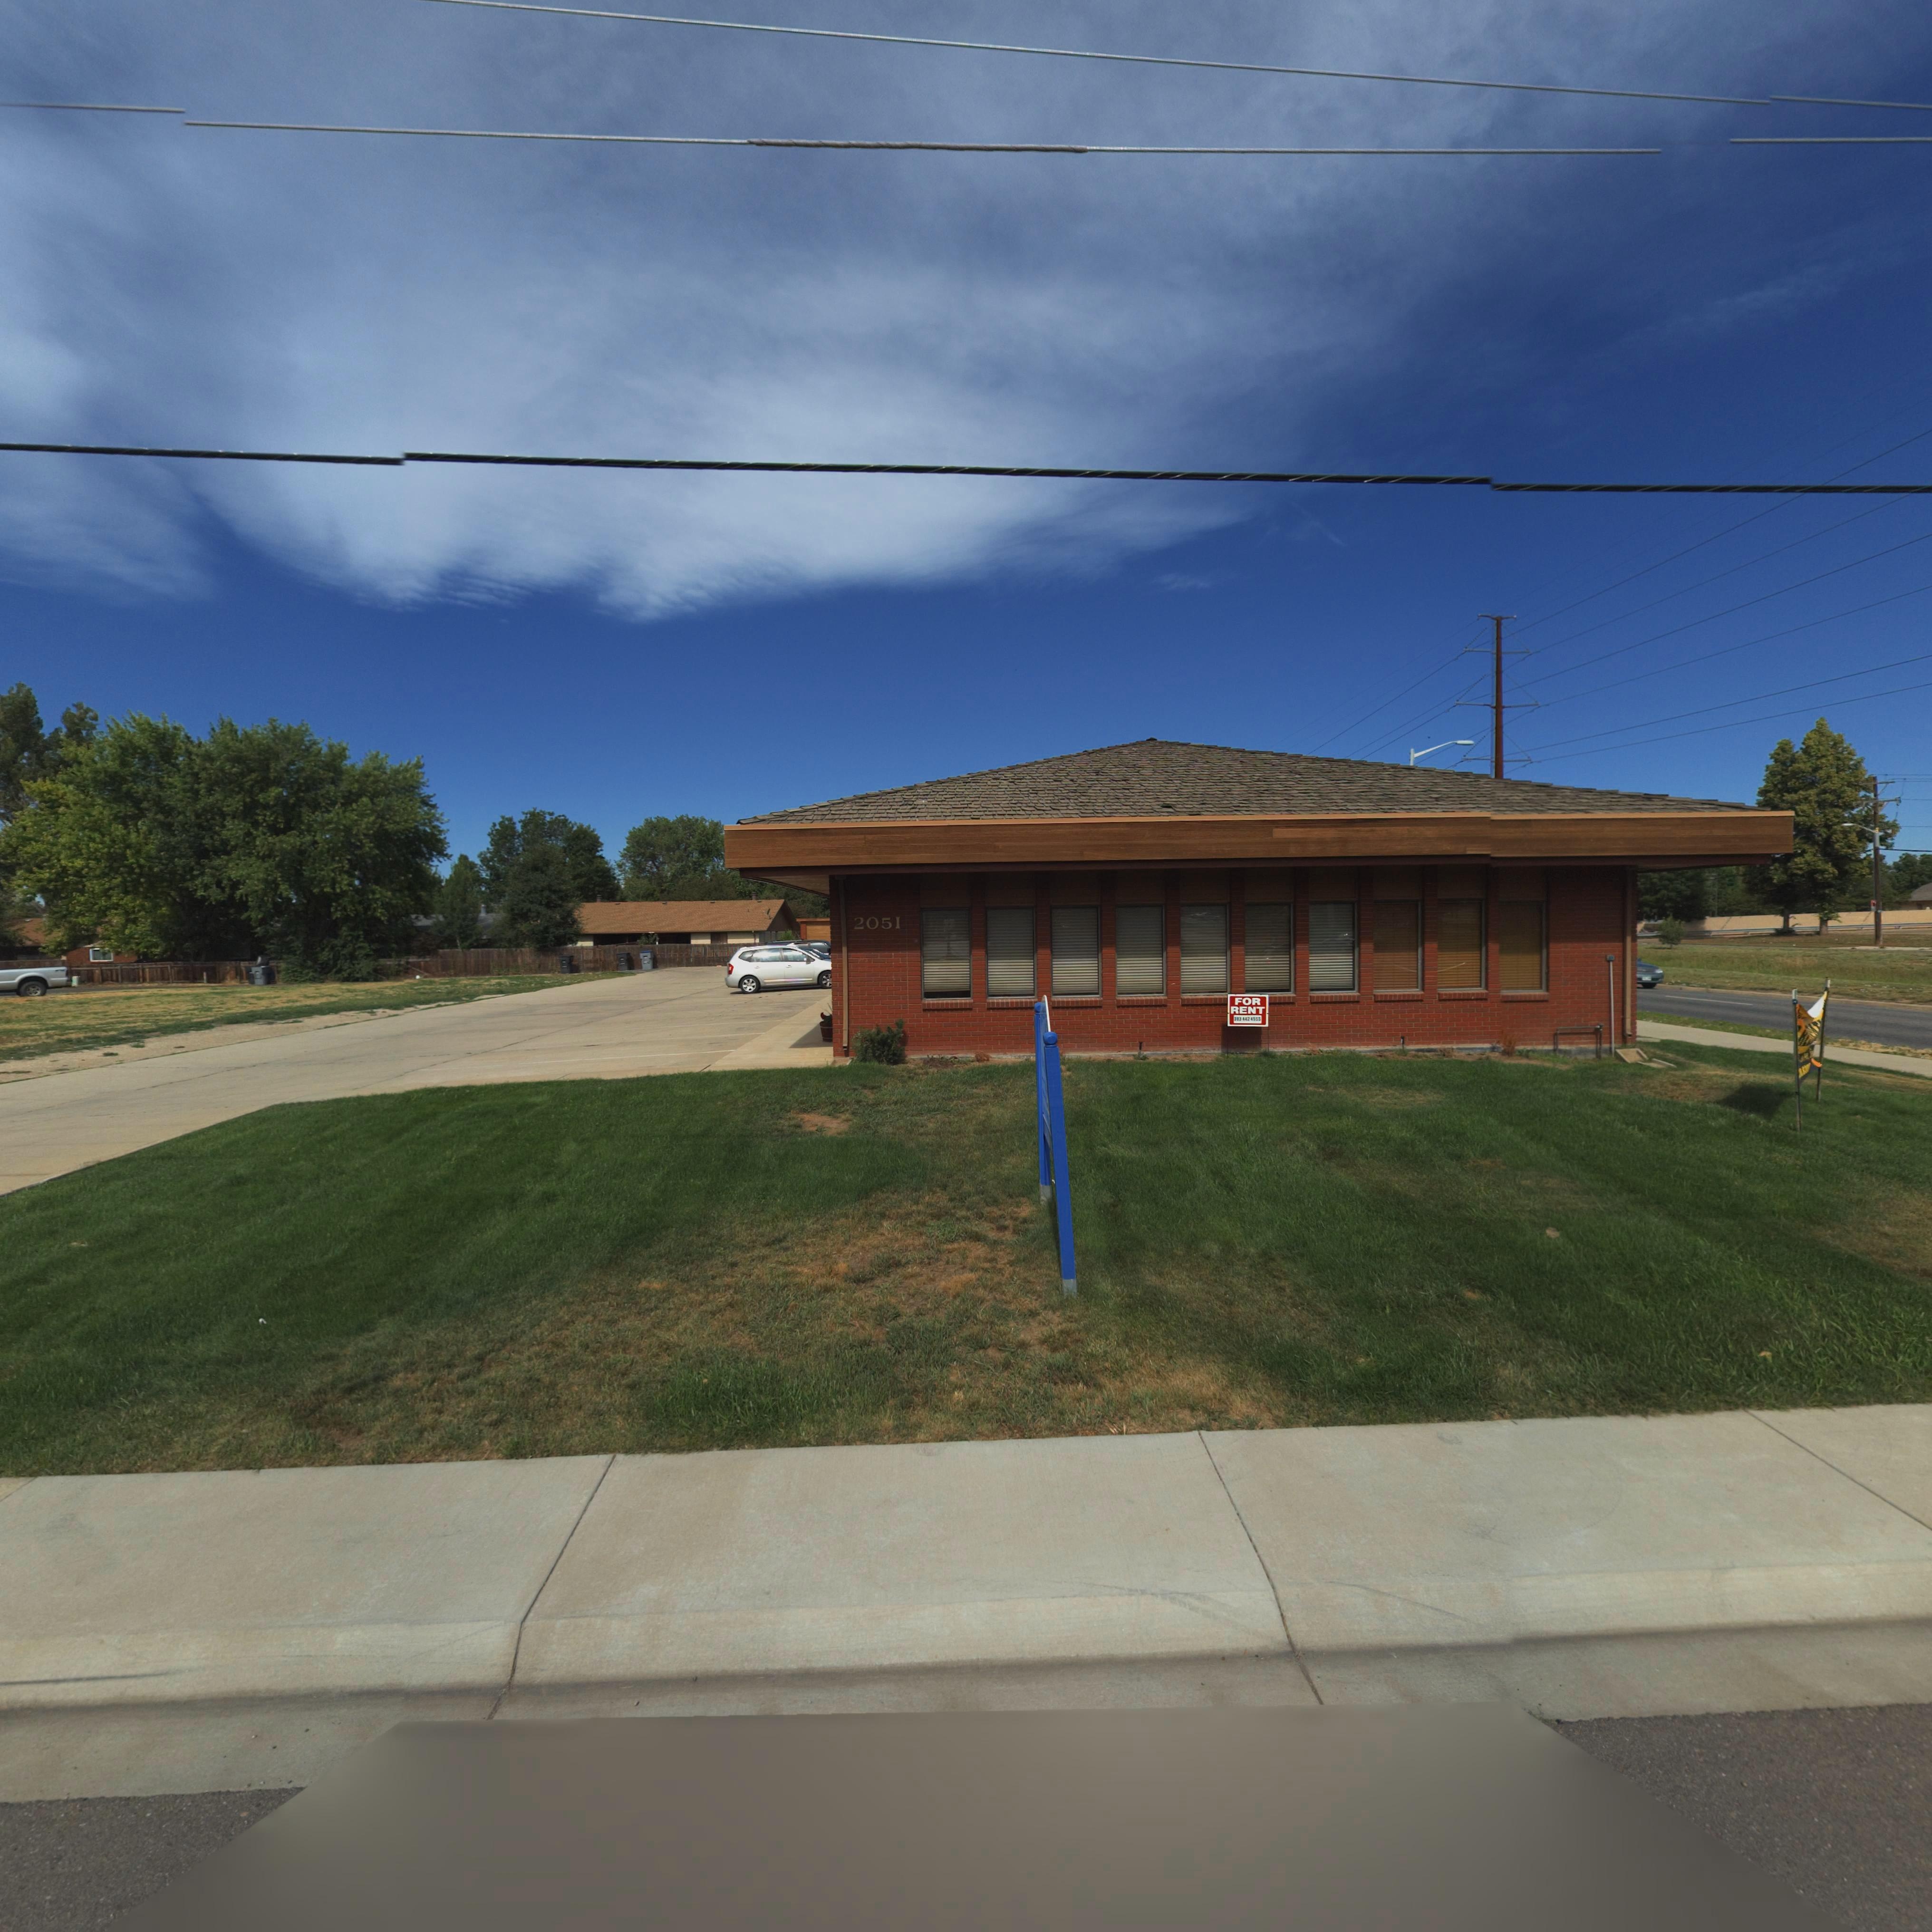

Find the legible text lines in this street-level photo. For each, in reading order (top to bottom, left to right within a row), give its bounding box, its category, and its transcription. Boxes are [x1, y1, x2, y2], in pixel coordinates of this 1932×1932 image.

[852, 916, 900, 930] StreetNumber: 2051